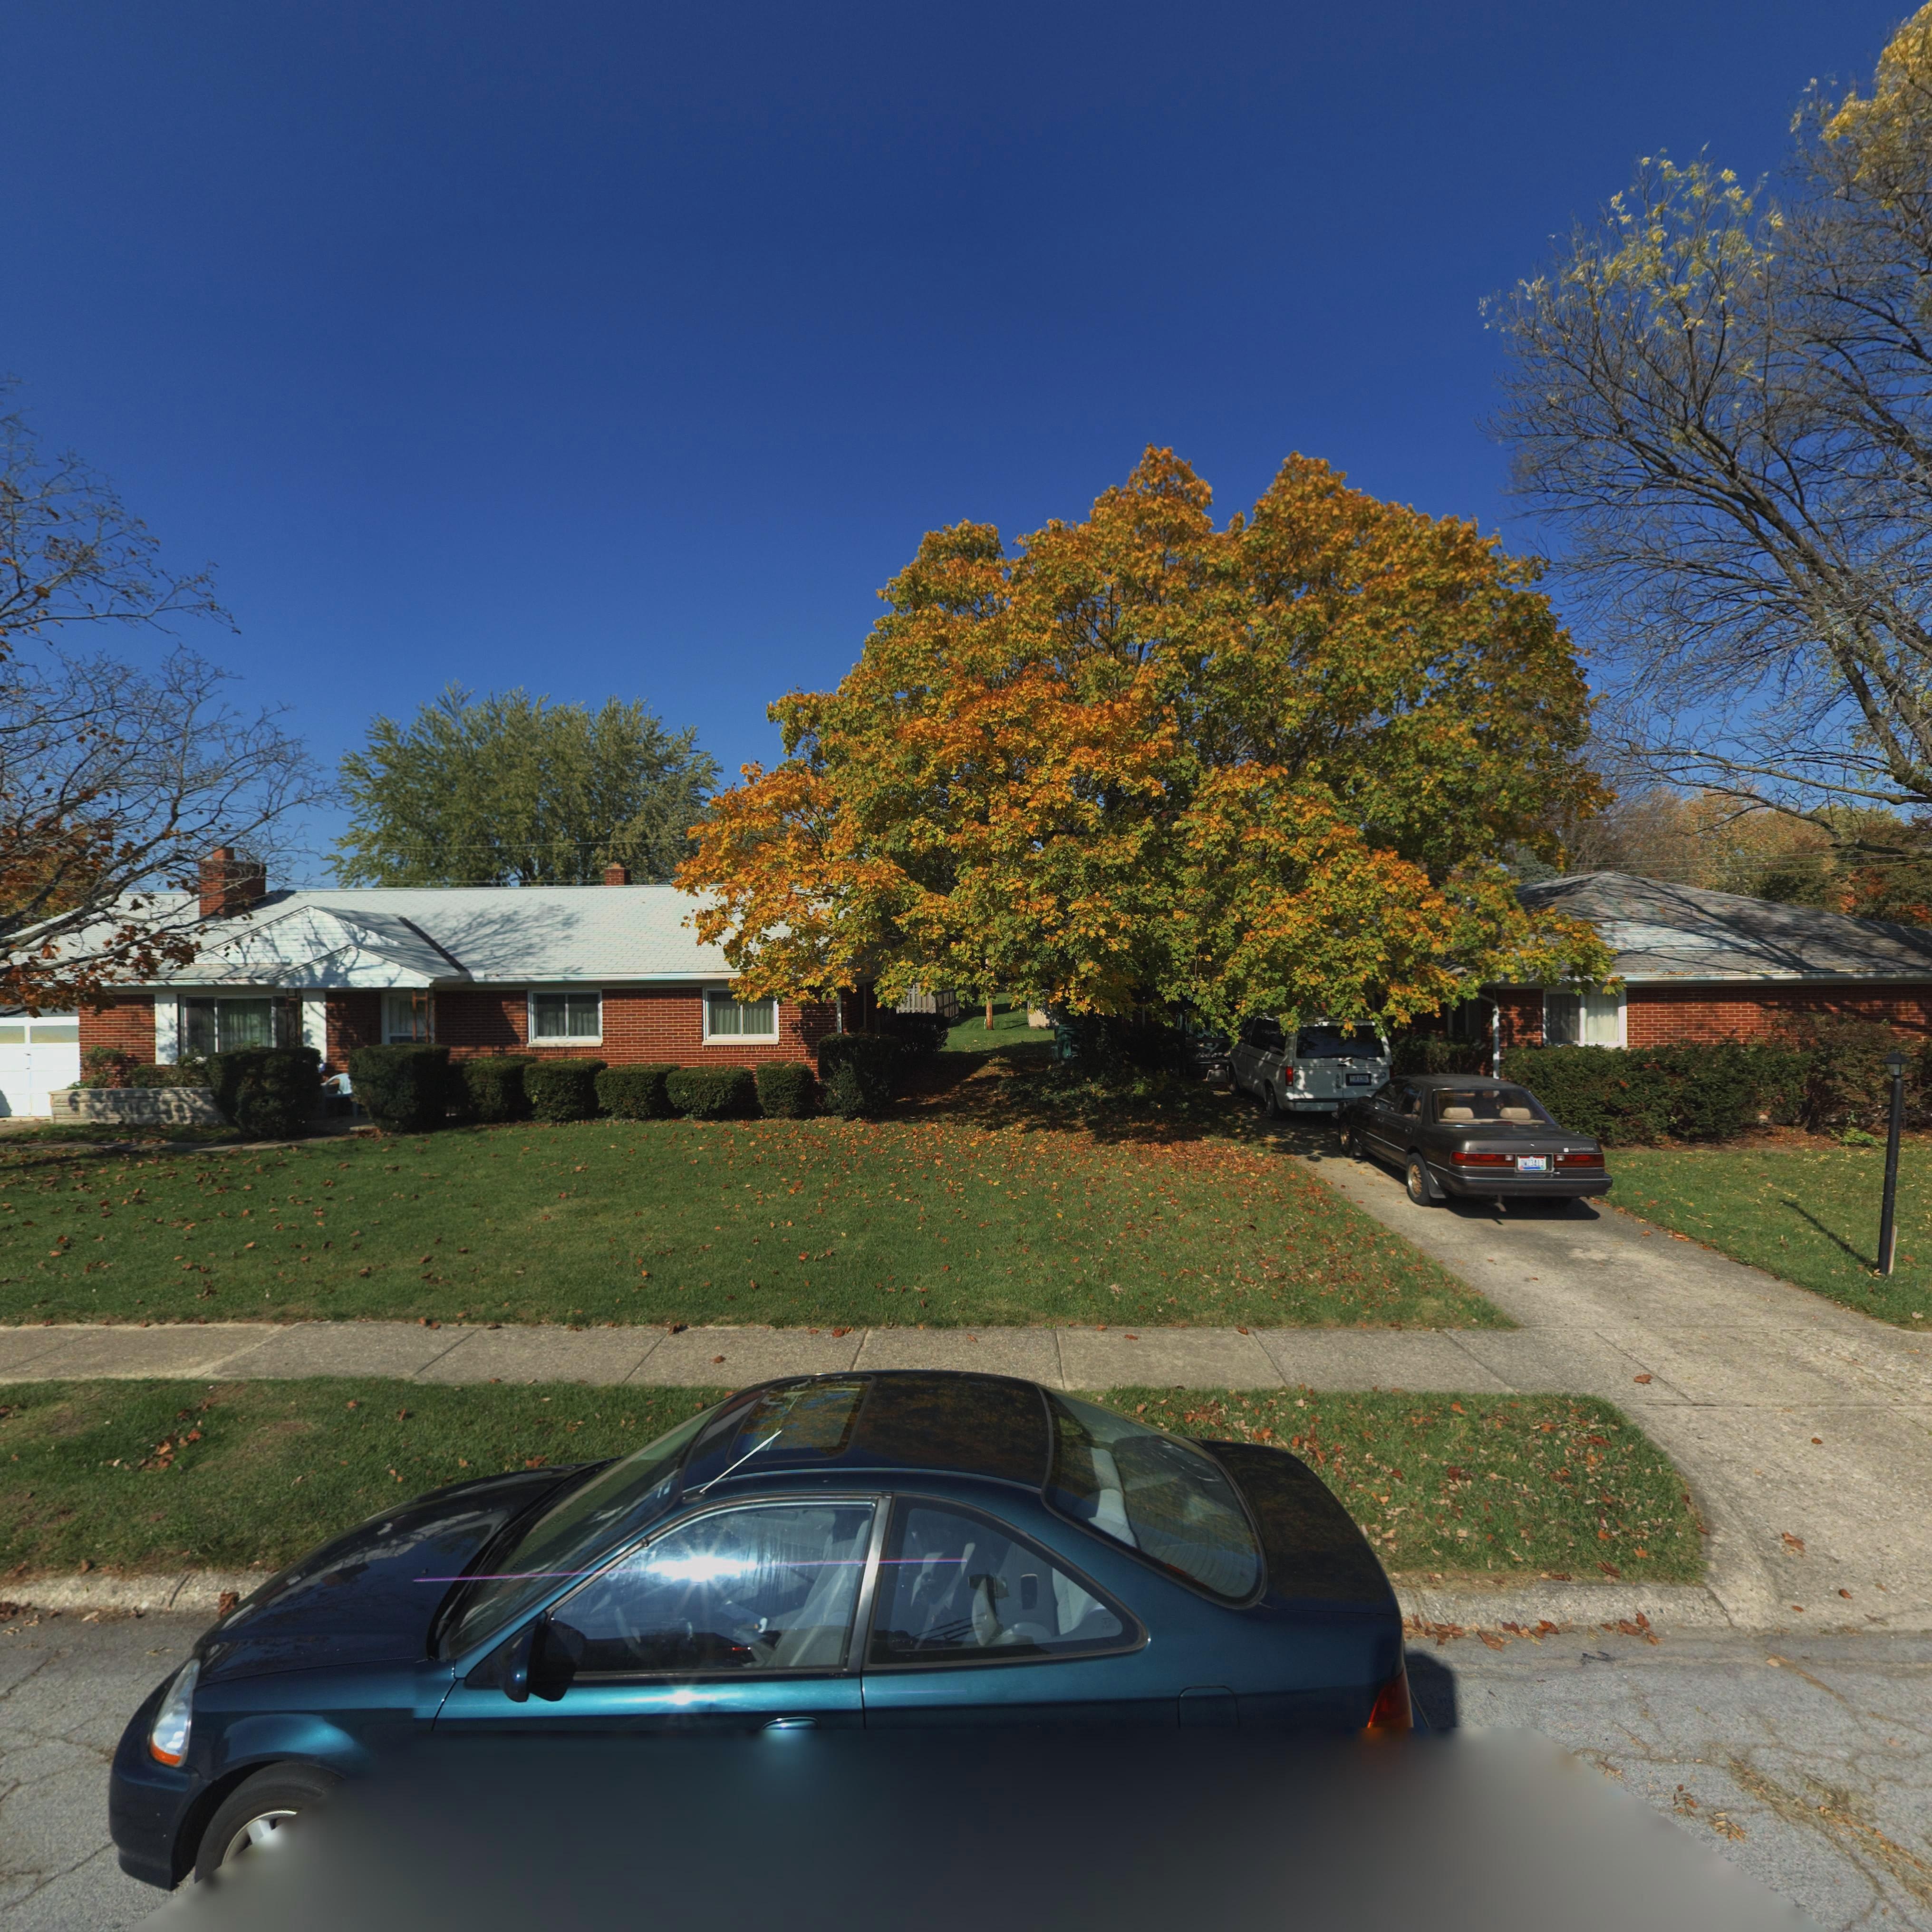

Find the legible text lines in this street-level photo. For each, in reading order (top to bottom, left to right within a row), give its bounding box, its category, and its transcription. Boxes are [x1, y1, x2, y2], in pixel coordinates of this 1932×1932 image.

[1526, 1159, 1545, 1168] None: 23413